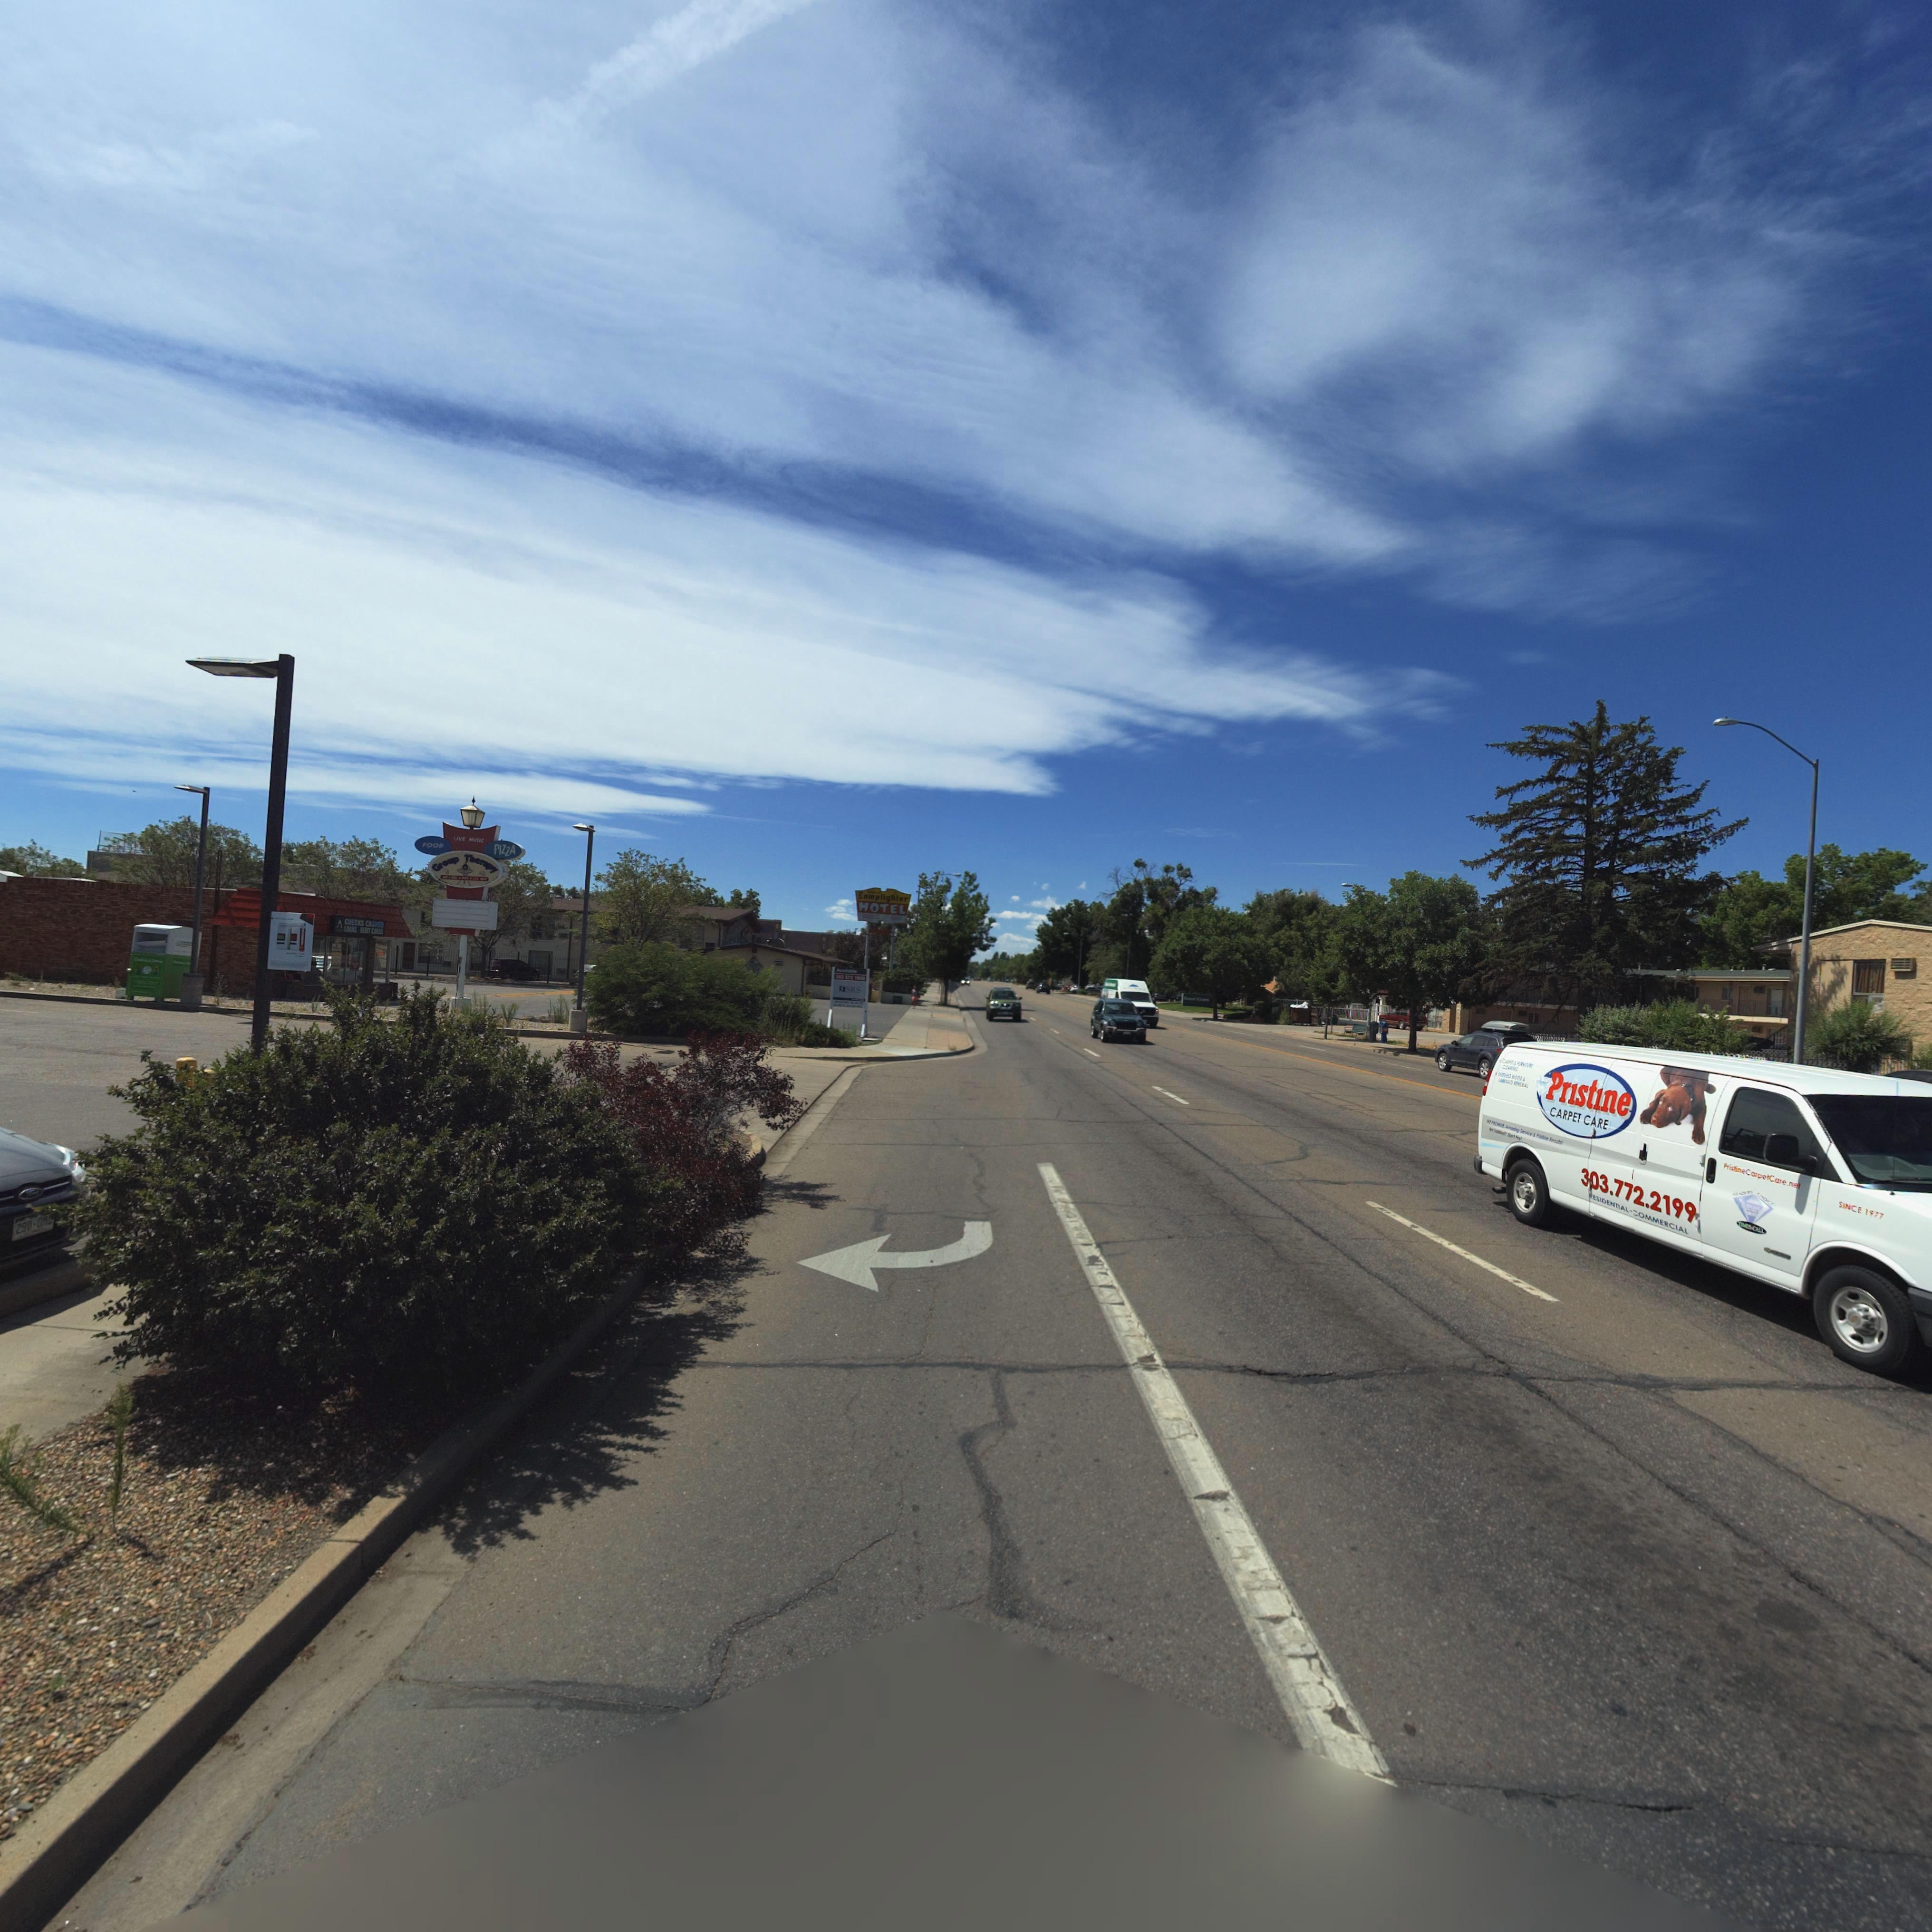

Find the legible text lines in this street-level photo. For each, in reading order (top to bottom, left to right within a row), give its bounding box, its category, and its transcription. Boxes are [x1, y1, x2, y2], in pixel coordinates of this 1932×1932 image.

[431, 853, 499, 874] BusinessName: Gro** T*er*py
[857, 891, 909, 903] BusinessName: Lamplighter
[859, 901, 906, 915] BusinessName: MOTEL
[1183, 995, 1209, 1002] BusinessName: ******* C******